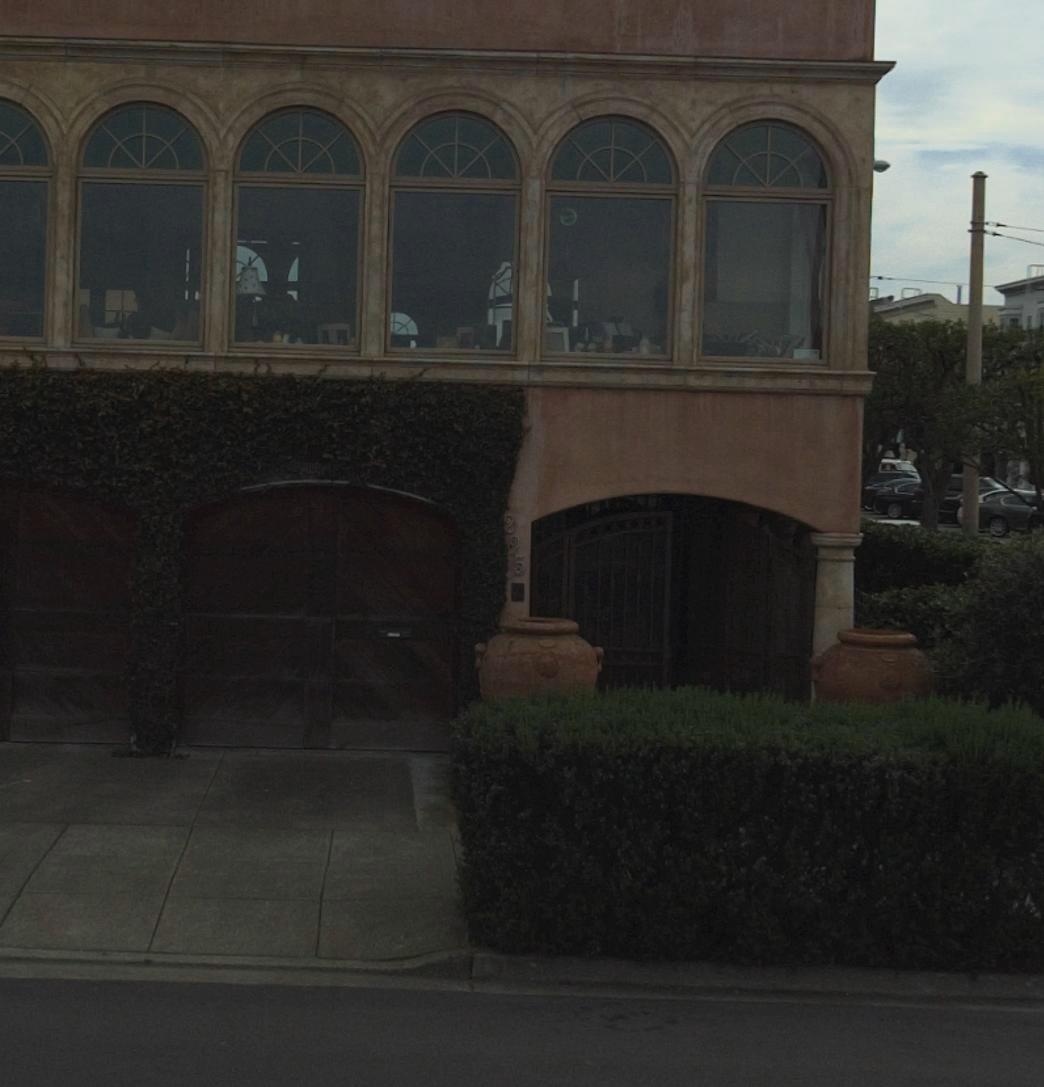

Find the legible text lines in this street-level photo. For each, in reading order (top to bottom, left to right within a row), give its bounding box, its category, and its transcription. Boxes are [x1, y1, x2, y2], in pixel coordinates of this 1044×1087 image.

[503, 515, 527, 577] StreetNumber: 295